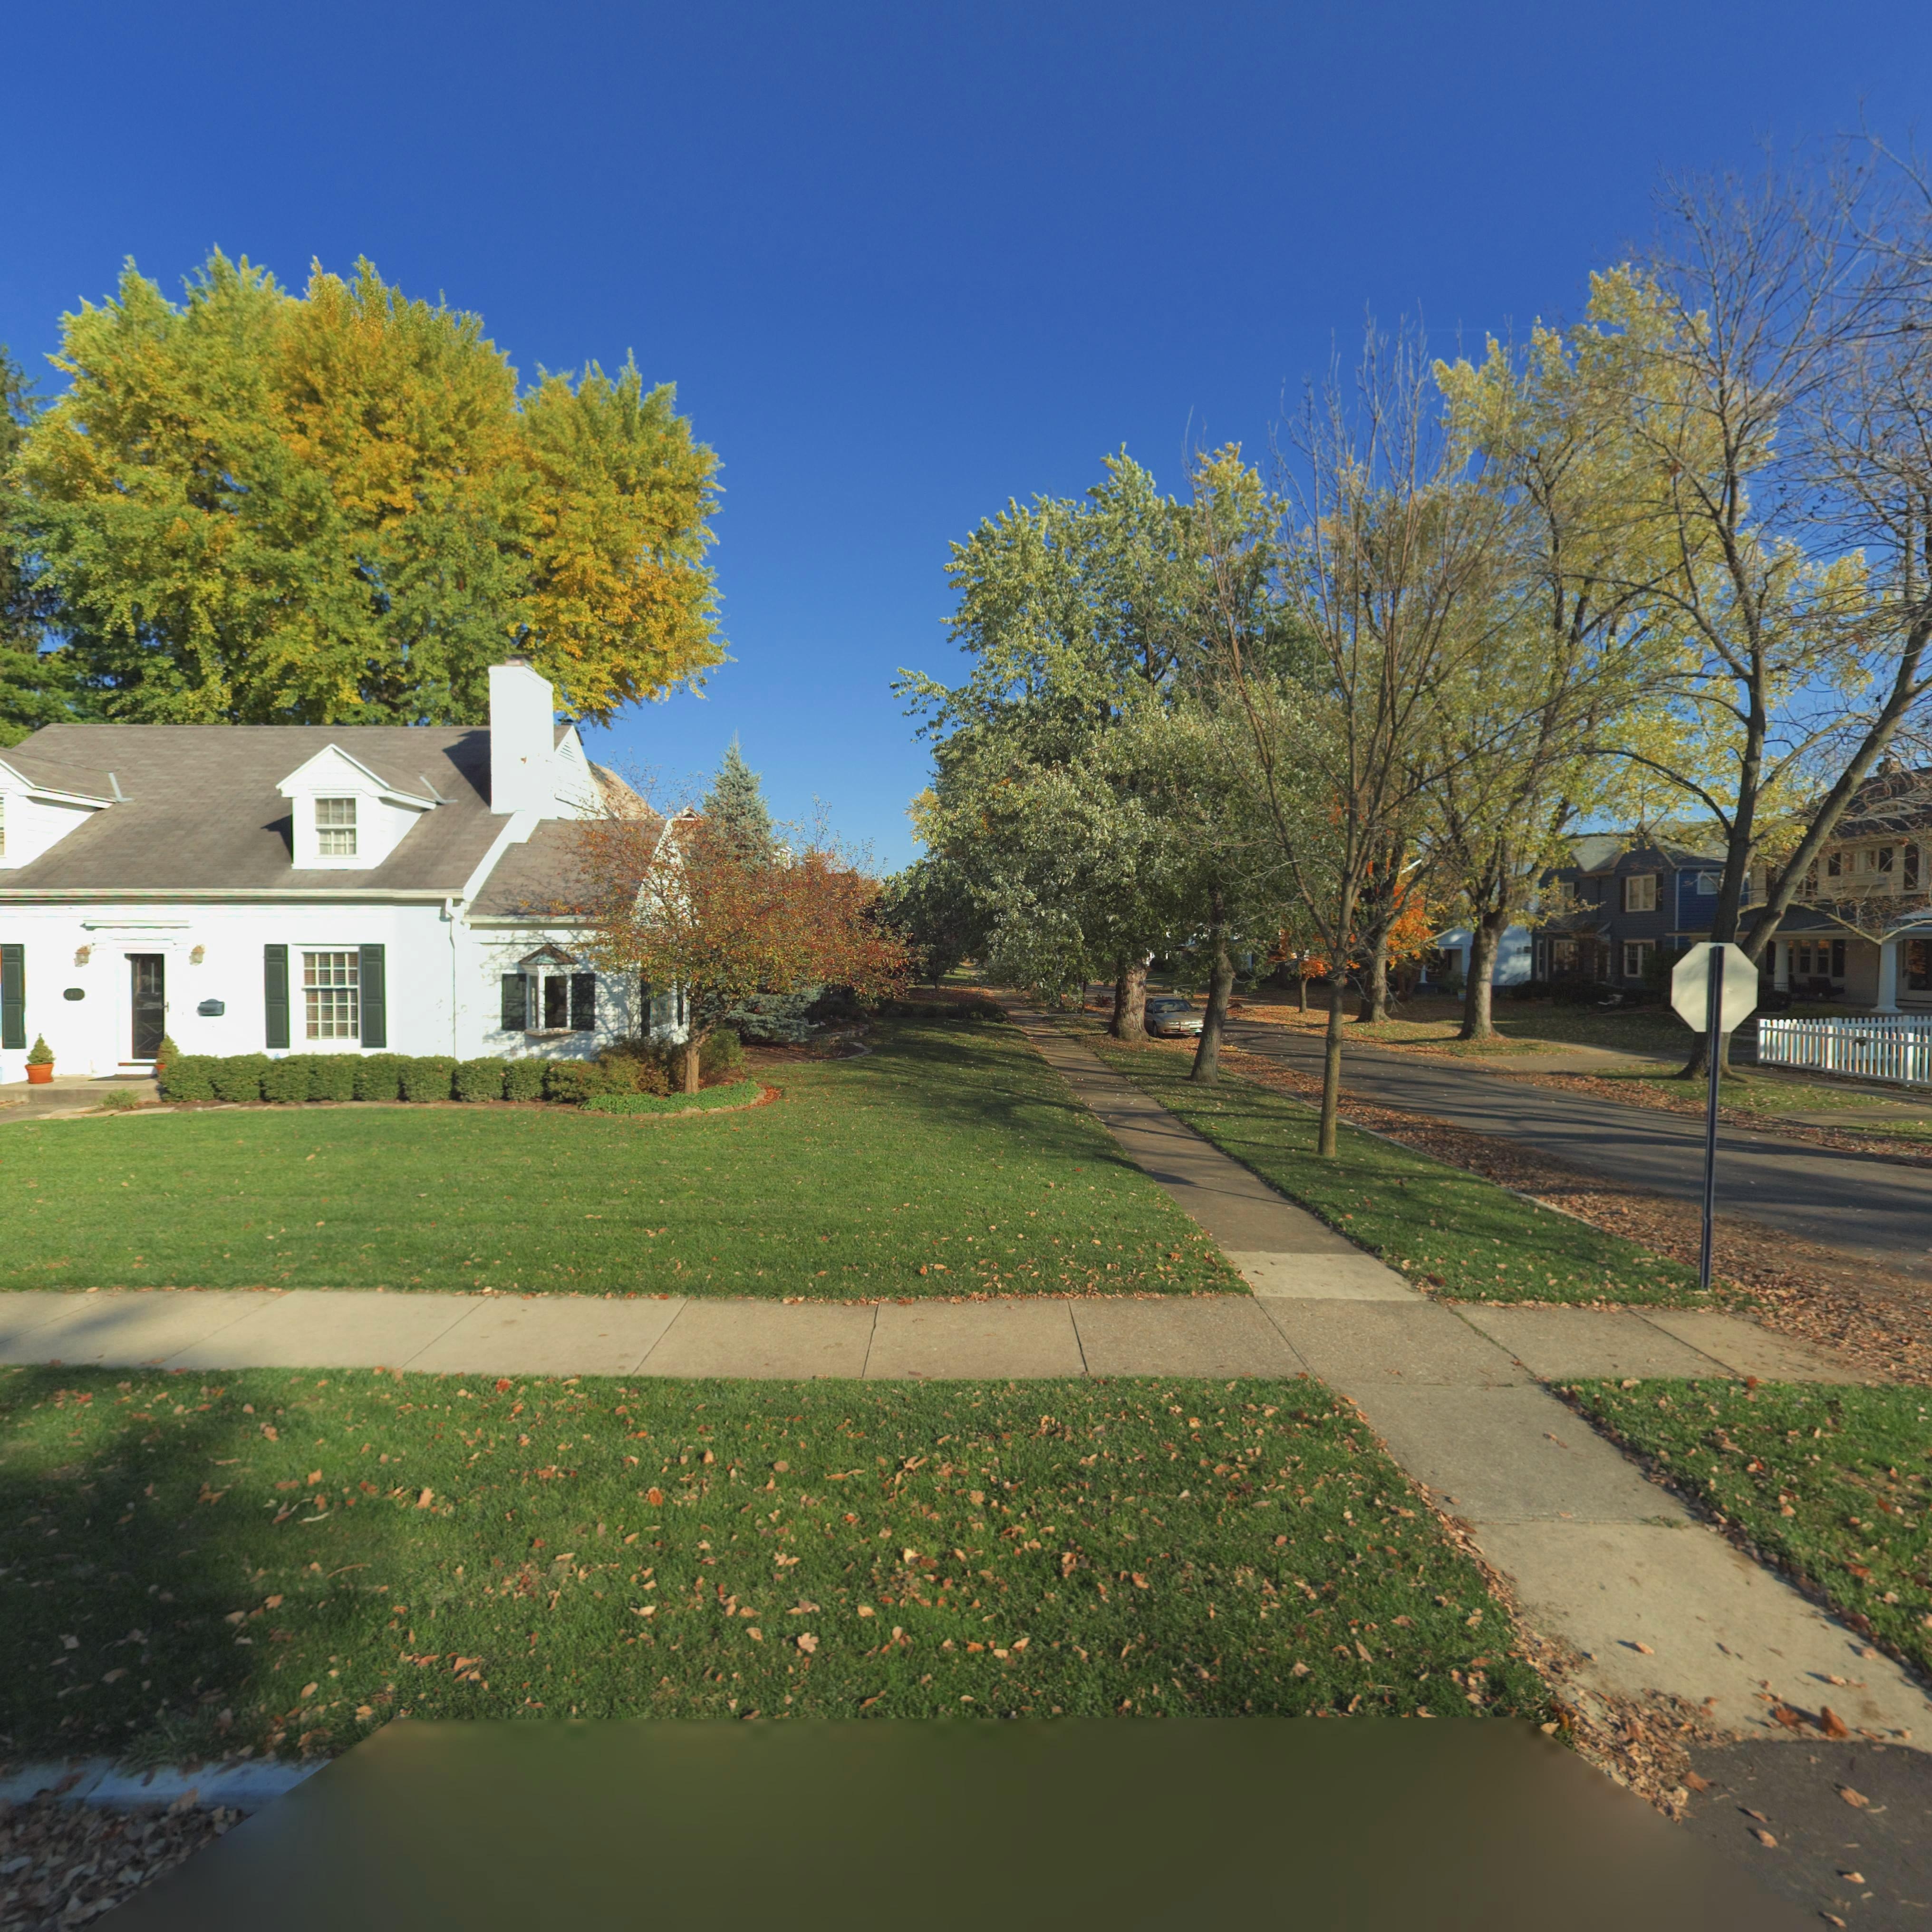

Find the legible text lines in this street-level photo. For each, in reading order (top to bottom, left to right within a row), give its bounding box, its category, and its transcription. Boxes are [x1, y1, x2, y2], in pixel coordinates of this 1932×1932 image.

[64, 990, 83, 997] StreetNumber: 1420